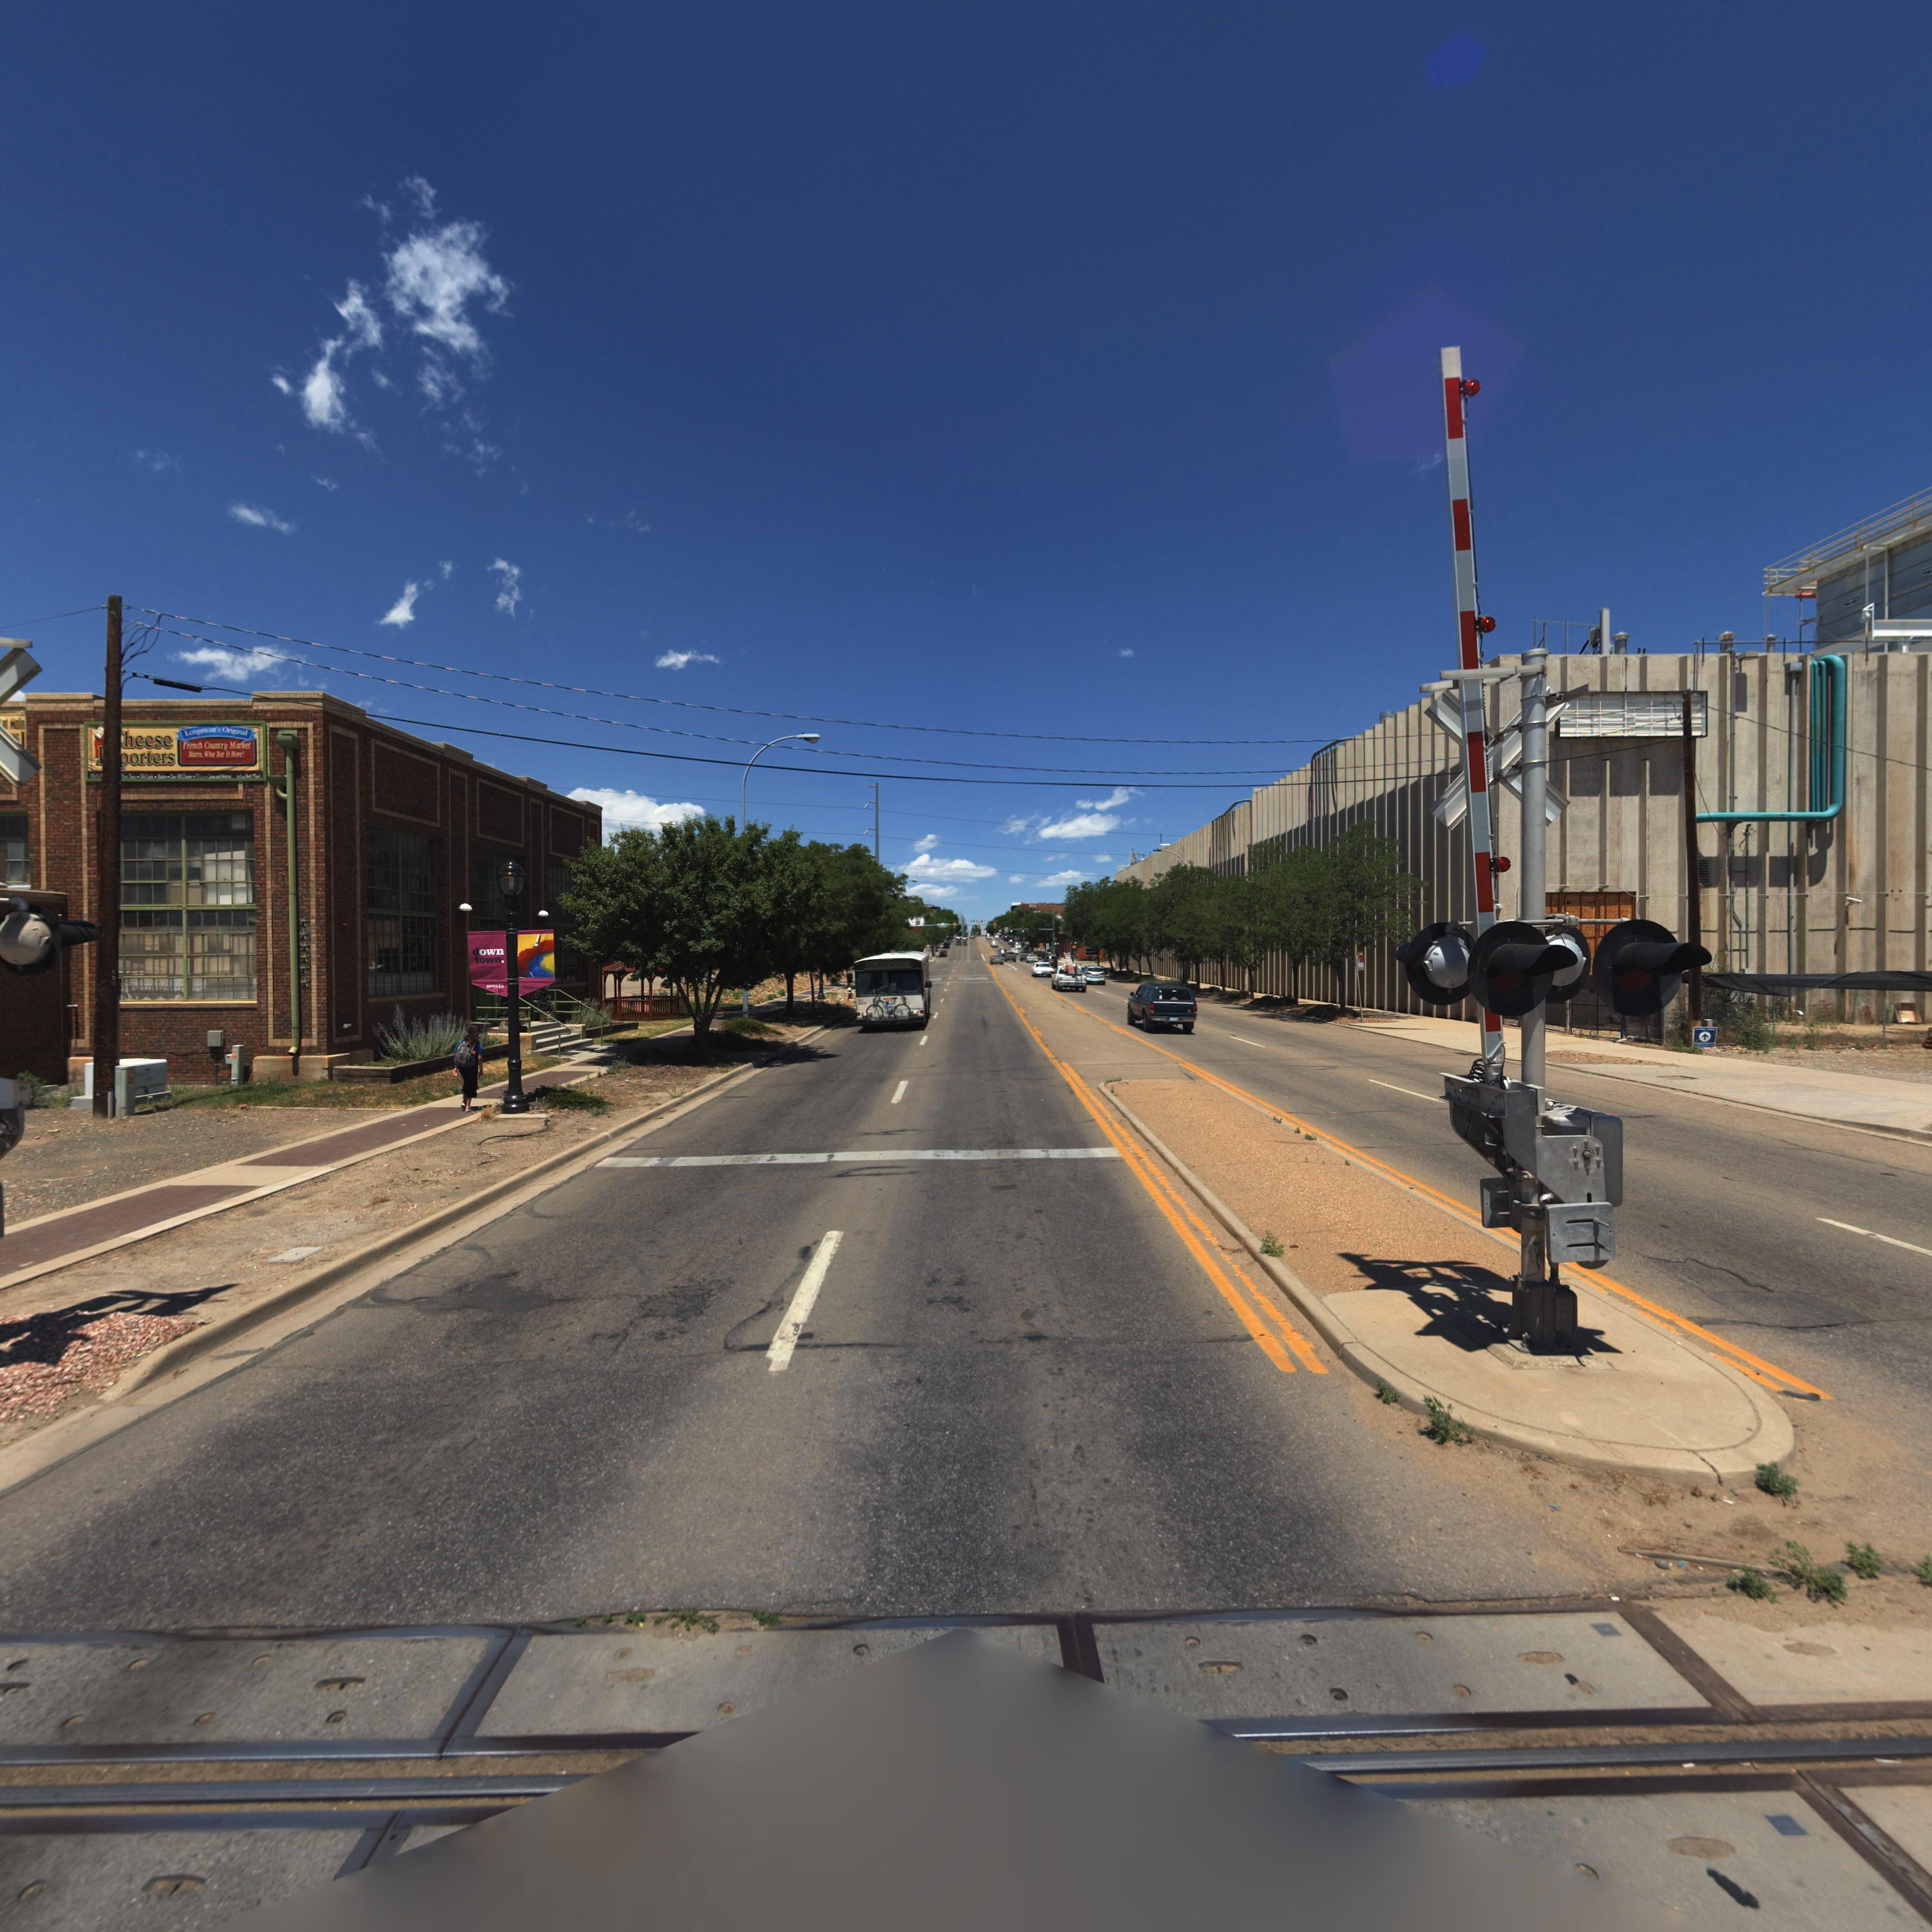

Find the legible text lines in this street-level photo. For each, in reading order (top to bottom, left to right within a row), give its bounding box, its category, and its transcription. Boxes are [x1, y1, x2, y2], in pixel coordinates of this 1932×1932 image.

[123, 730, 174, 750] BusinessName: heese
[121, 752, 176, 770] BusinessName: porters